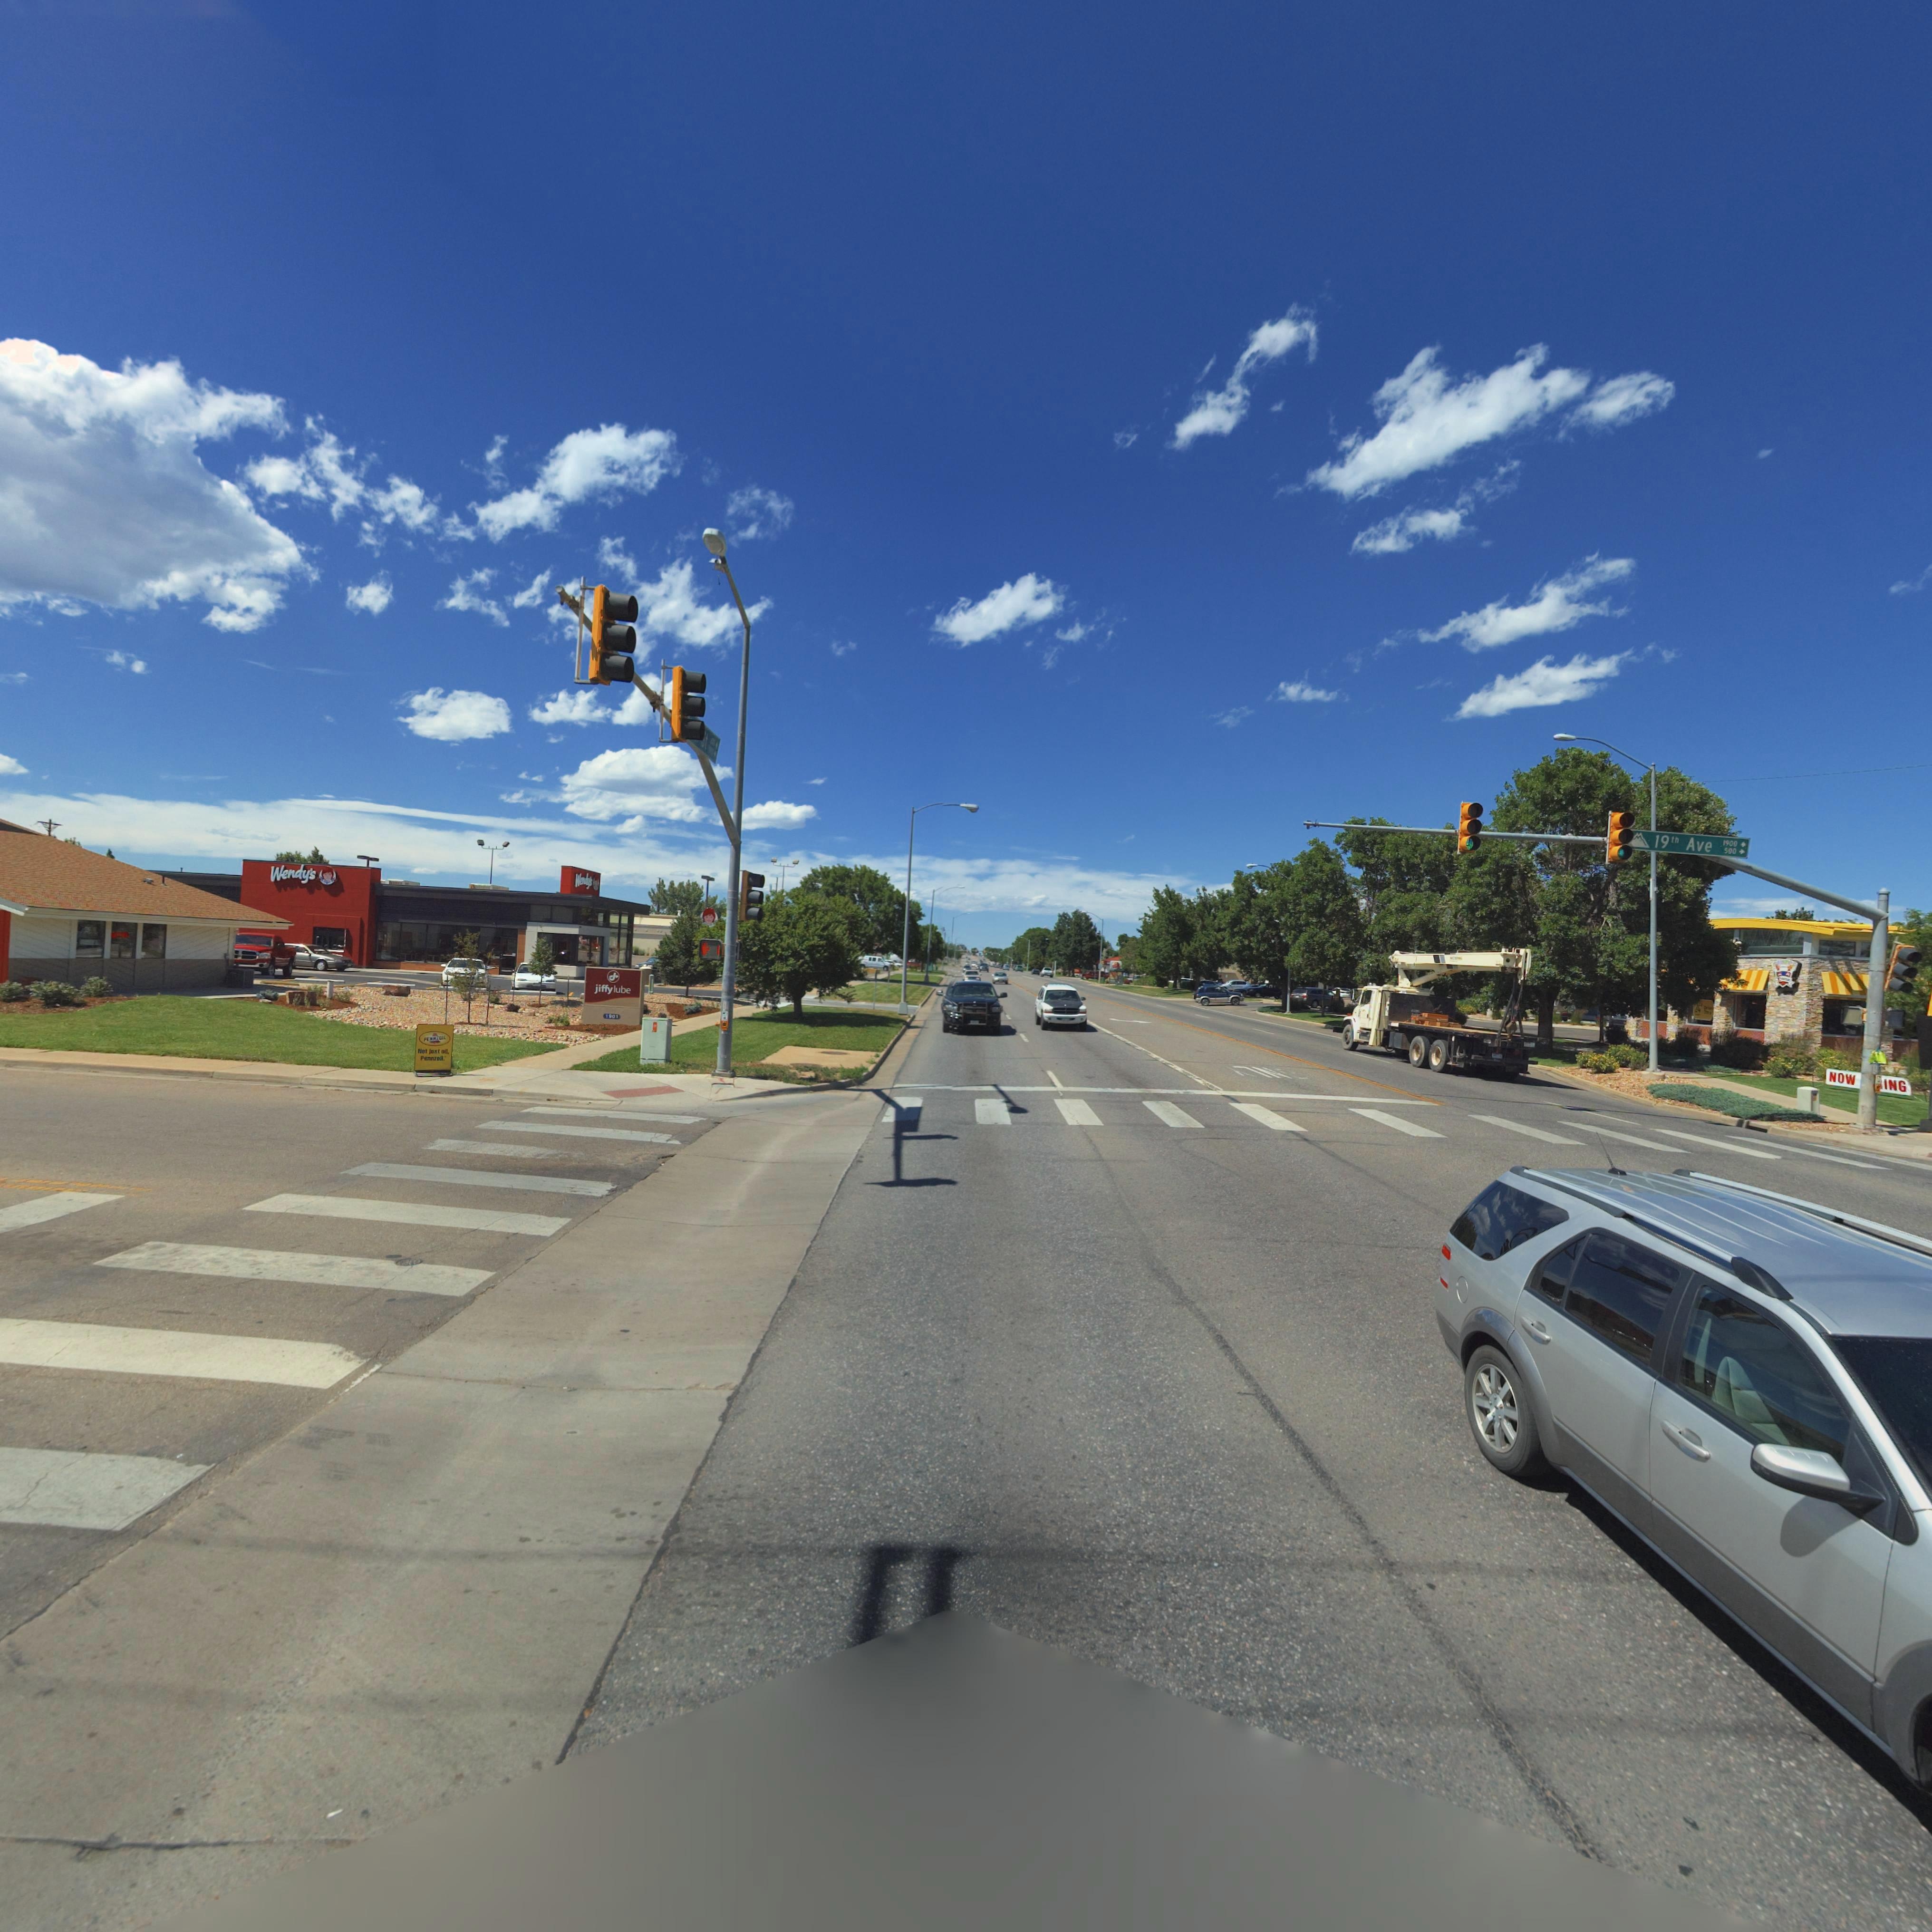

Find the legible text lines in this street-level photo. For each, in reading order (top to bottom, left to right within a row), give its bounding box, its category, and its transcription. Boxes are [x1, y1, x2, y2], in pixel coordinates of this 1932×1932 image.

[700, 730, 709, 750] StreetName: *t
[1654, 834, 1712, 853] StreetName: 19th Ave
[1722, 839, 1738, 847] StreetNumberRange: 1900
[1724, 847, 1745, 855] None: **0->
[270, 863, 316, 884] BusinessName: Wendy's
[575, 872, 593, 890] BusinessName: We**y's
[593, 983, 631, 995] BusinessName: jiffy lube
[605, 1014, 618, 1018] StreetNumber: 1*01